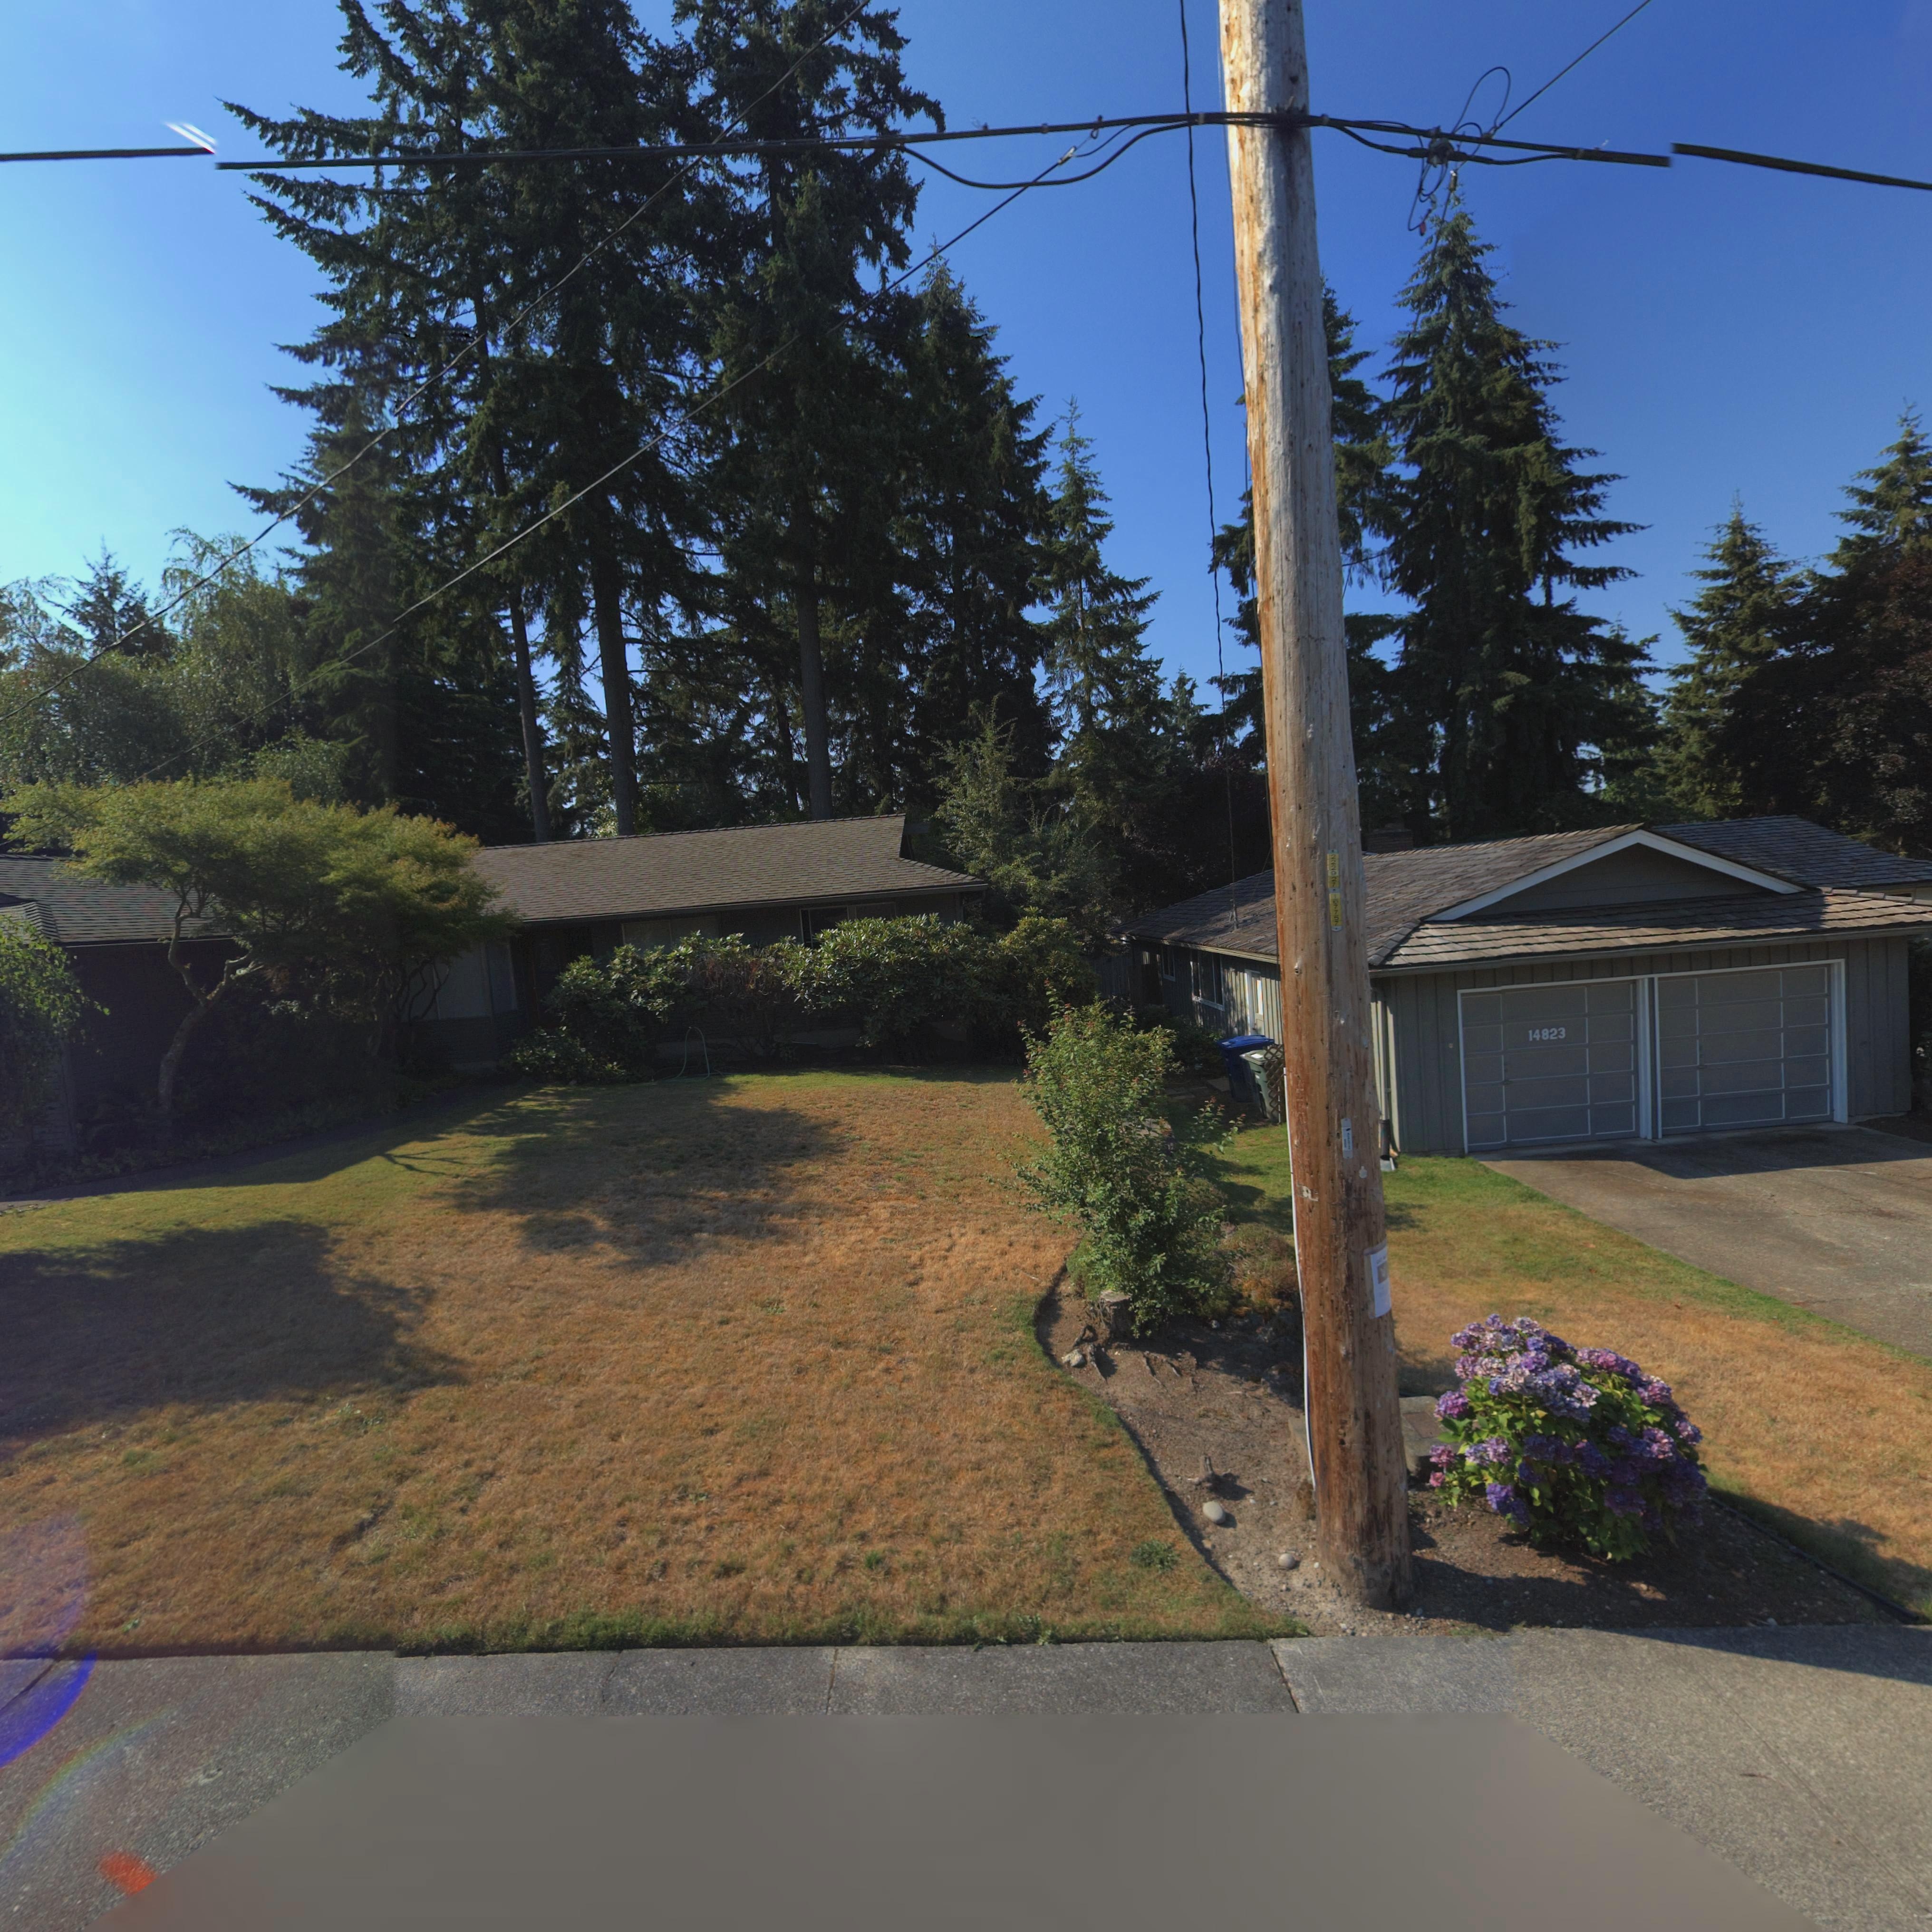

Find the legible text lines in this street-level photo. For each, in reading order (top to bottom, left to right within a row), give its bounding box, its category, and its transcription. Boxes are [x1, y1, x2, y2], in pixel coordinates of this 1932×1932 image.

[1527, 1026, 1565, 1042] StreetNumber: 14823